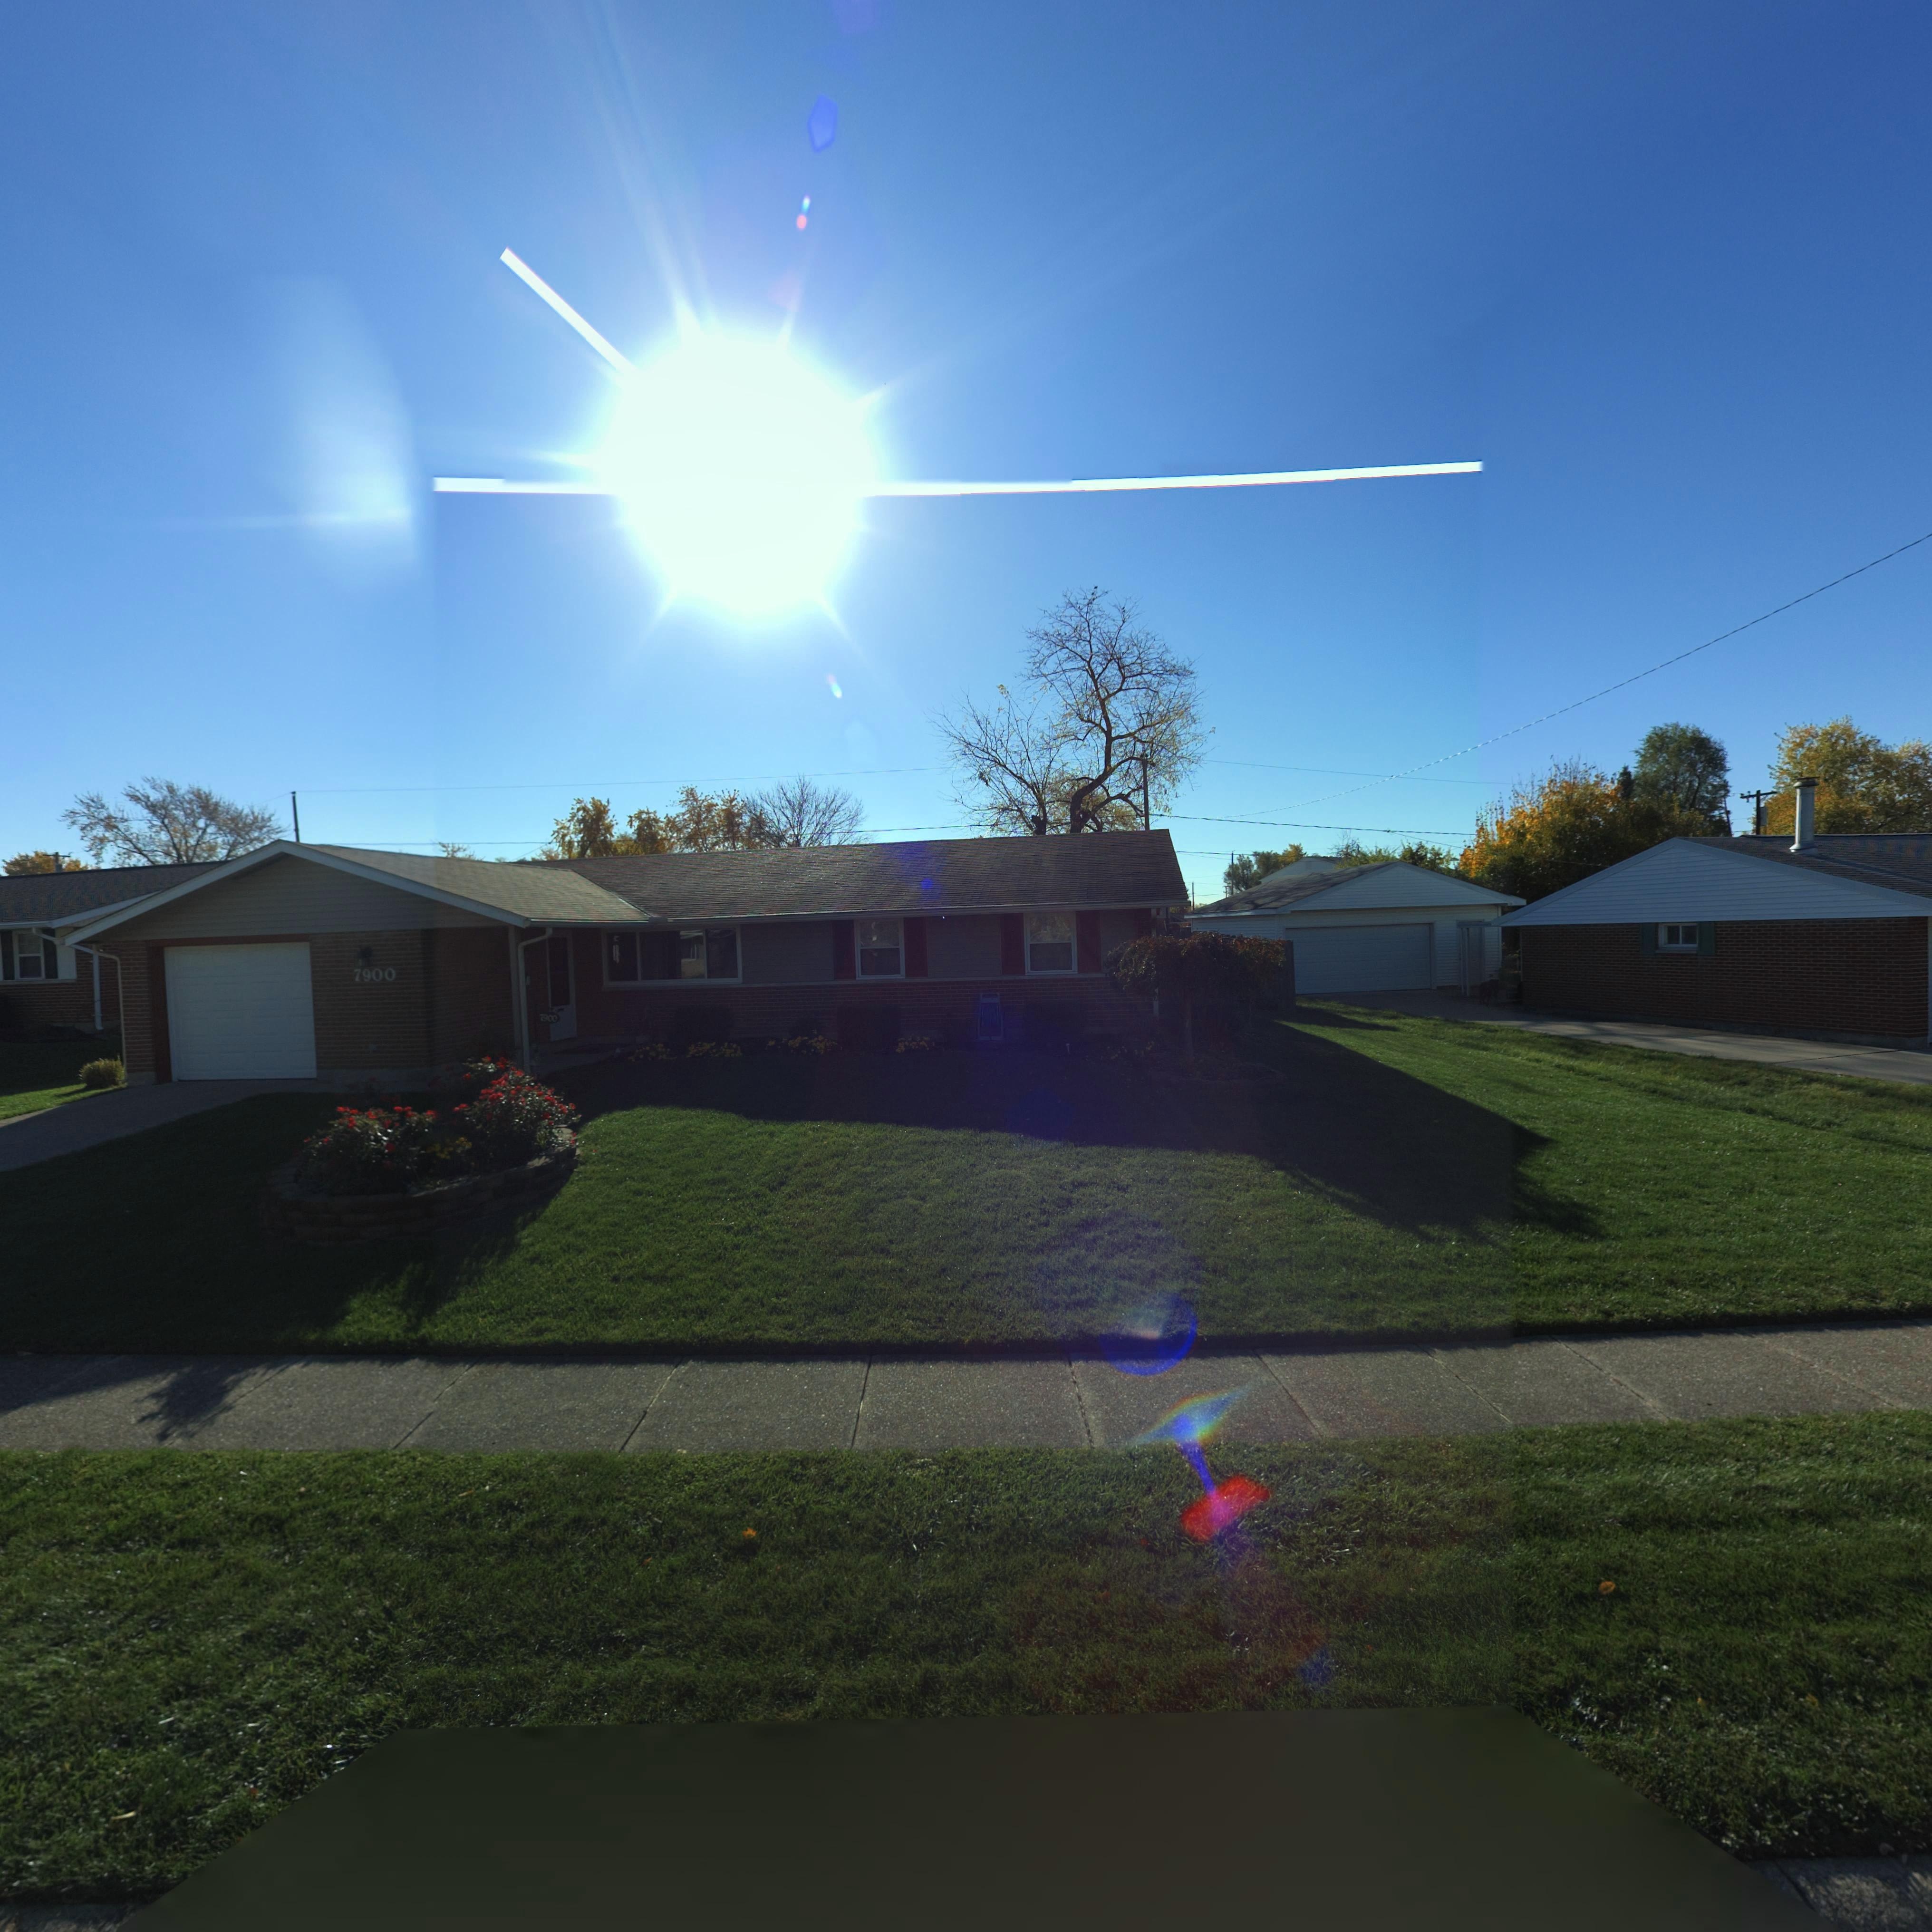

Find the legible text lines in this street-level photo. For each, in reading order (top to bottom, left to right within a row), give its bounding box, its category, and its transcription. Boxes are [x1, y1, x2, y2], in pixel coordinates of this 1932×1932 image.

[353, 967, 397, 983] StreetNumber: 7900